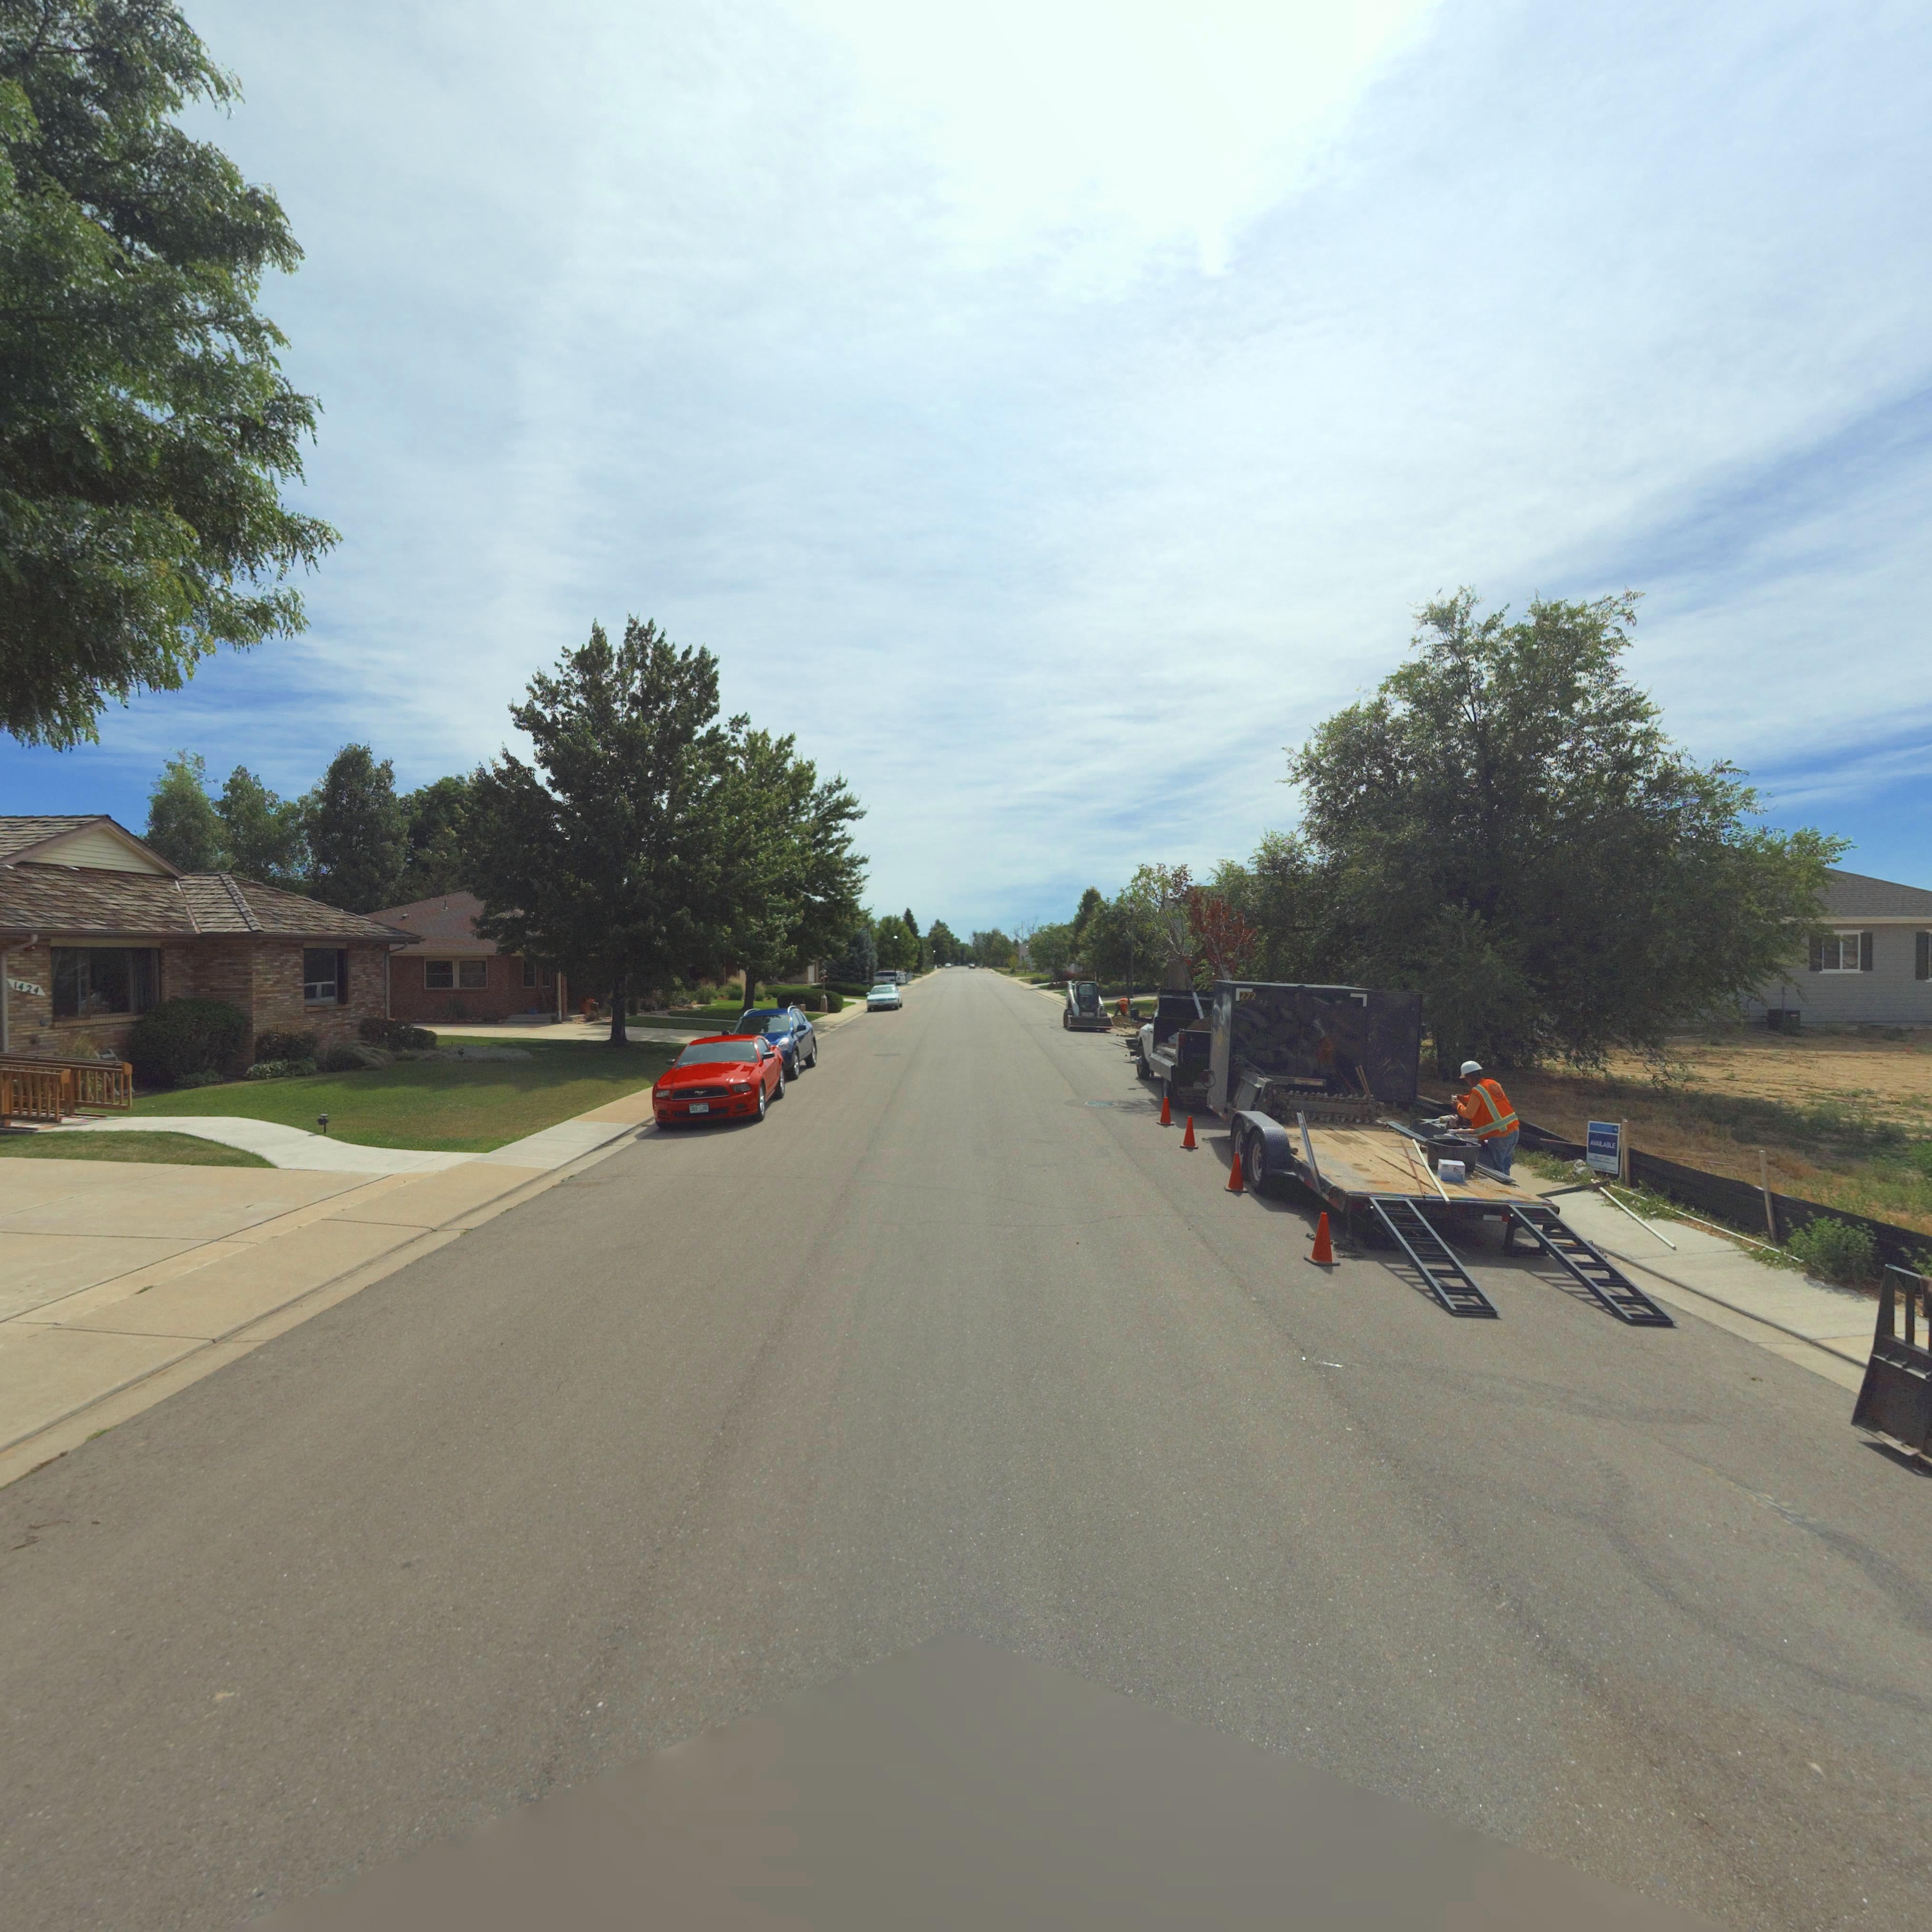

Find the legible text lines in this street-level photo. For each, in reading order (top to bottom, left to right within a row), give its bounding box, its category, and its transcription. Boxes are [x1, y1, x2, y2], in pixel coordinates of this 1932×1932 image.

[13, 980, 39, 994] StreetNumber: 1424